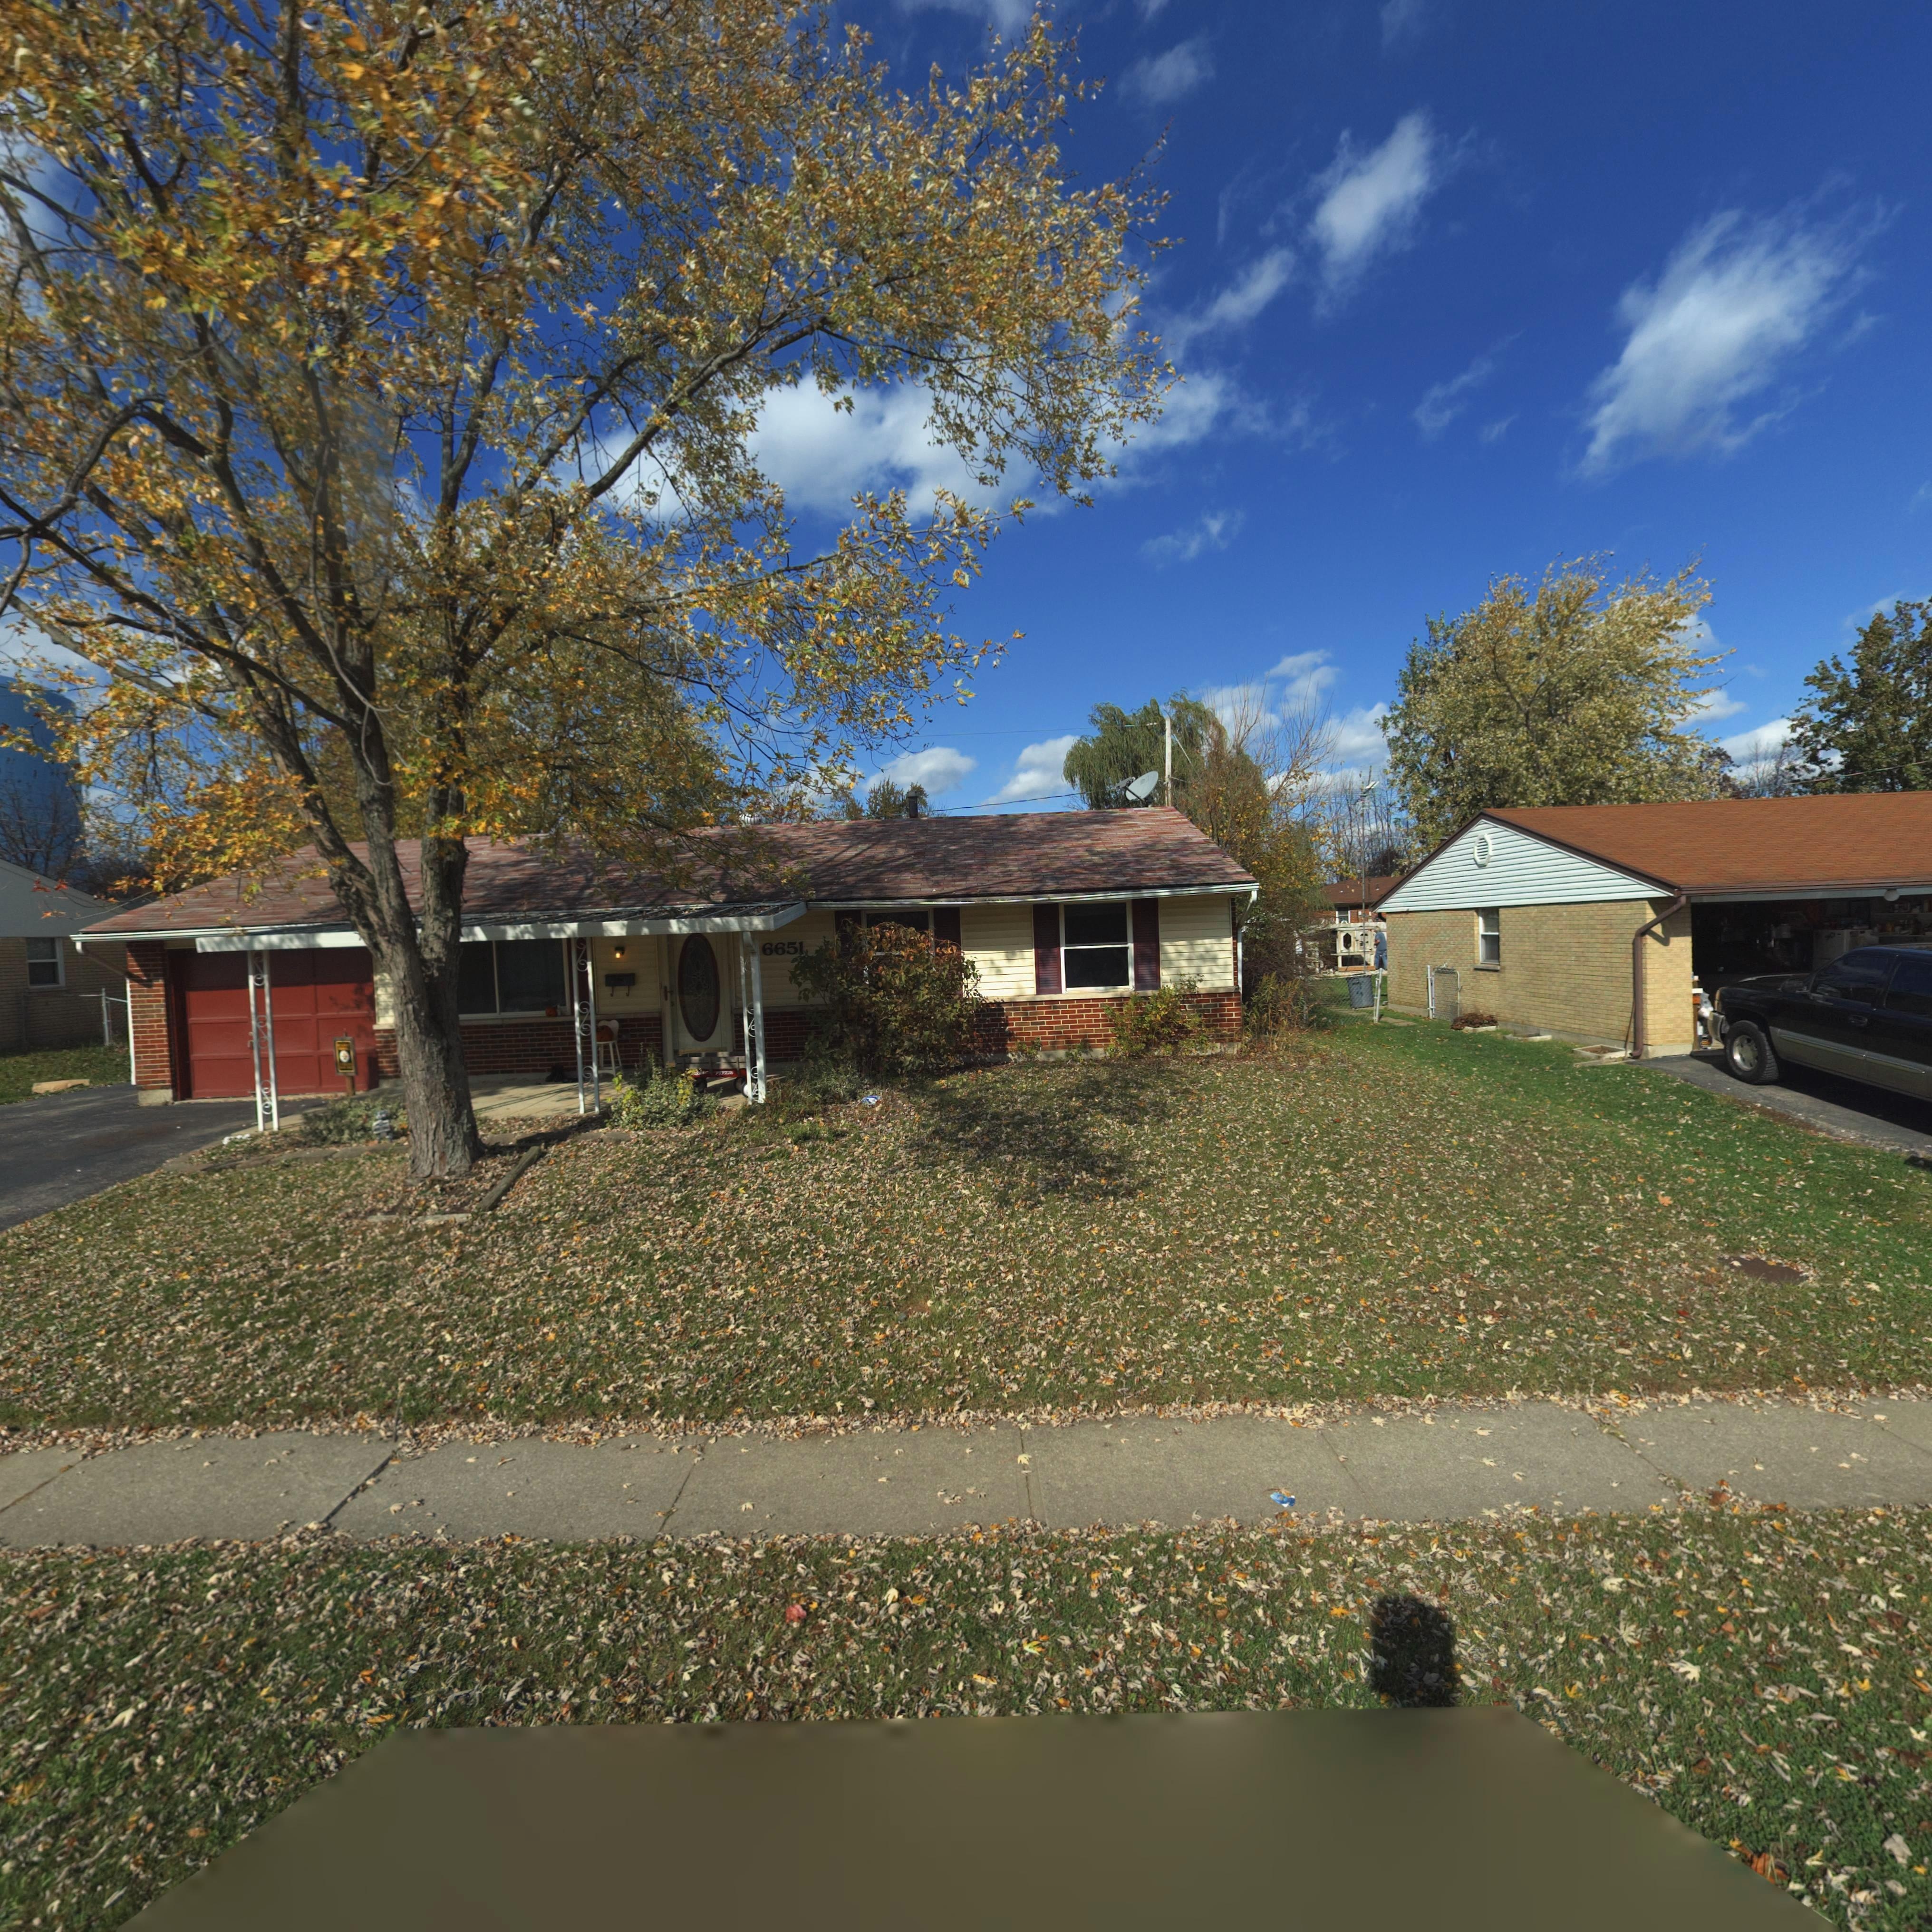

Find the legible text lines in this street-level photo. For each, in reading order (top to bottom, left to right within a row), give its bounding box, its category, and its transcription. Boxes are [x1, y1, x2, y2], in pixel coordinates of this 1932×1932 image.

[761, 940, 805, 956] StreetNumber: 6651